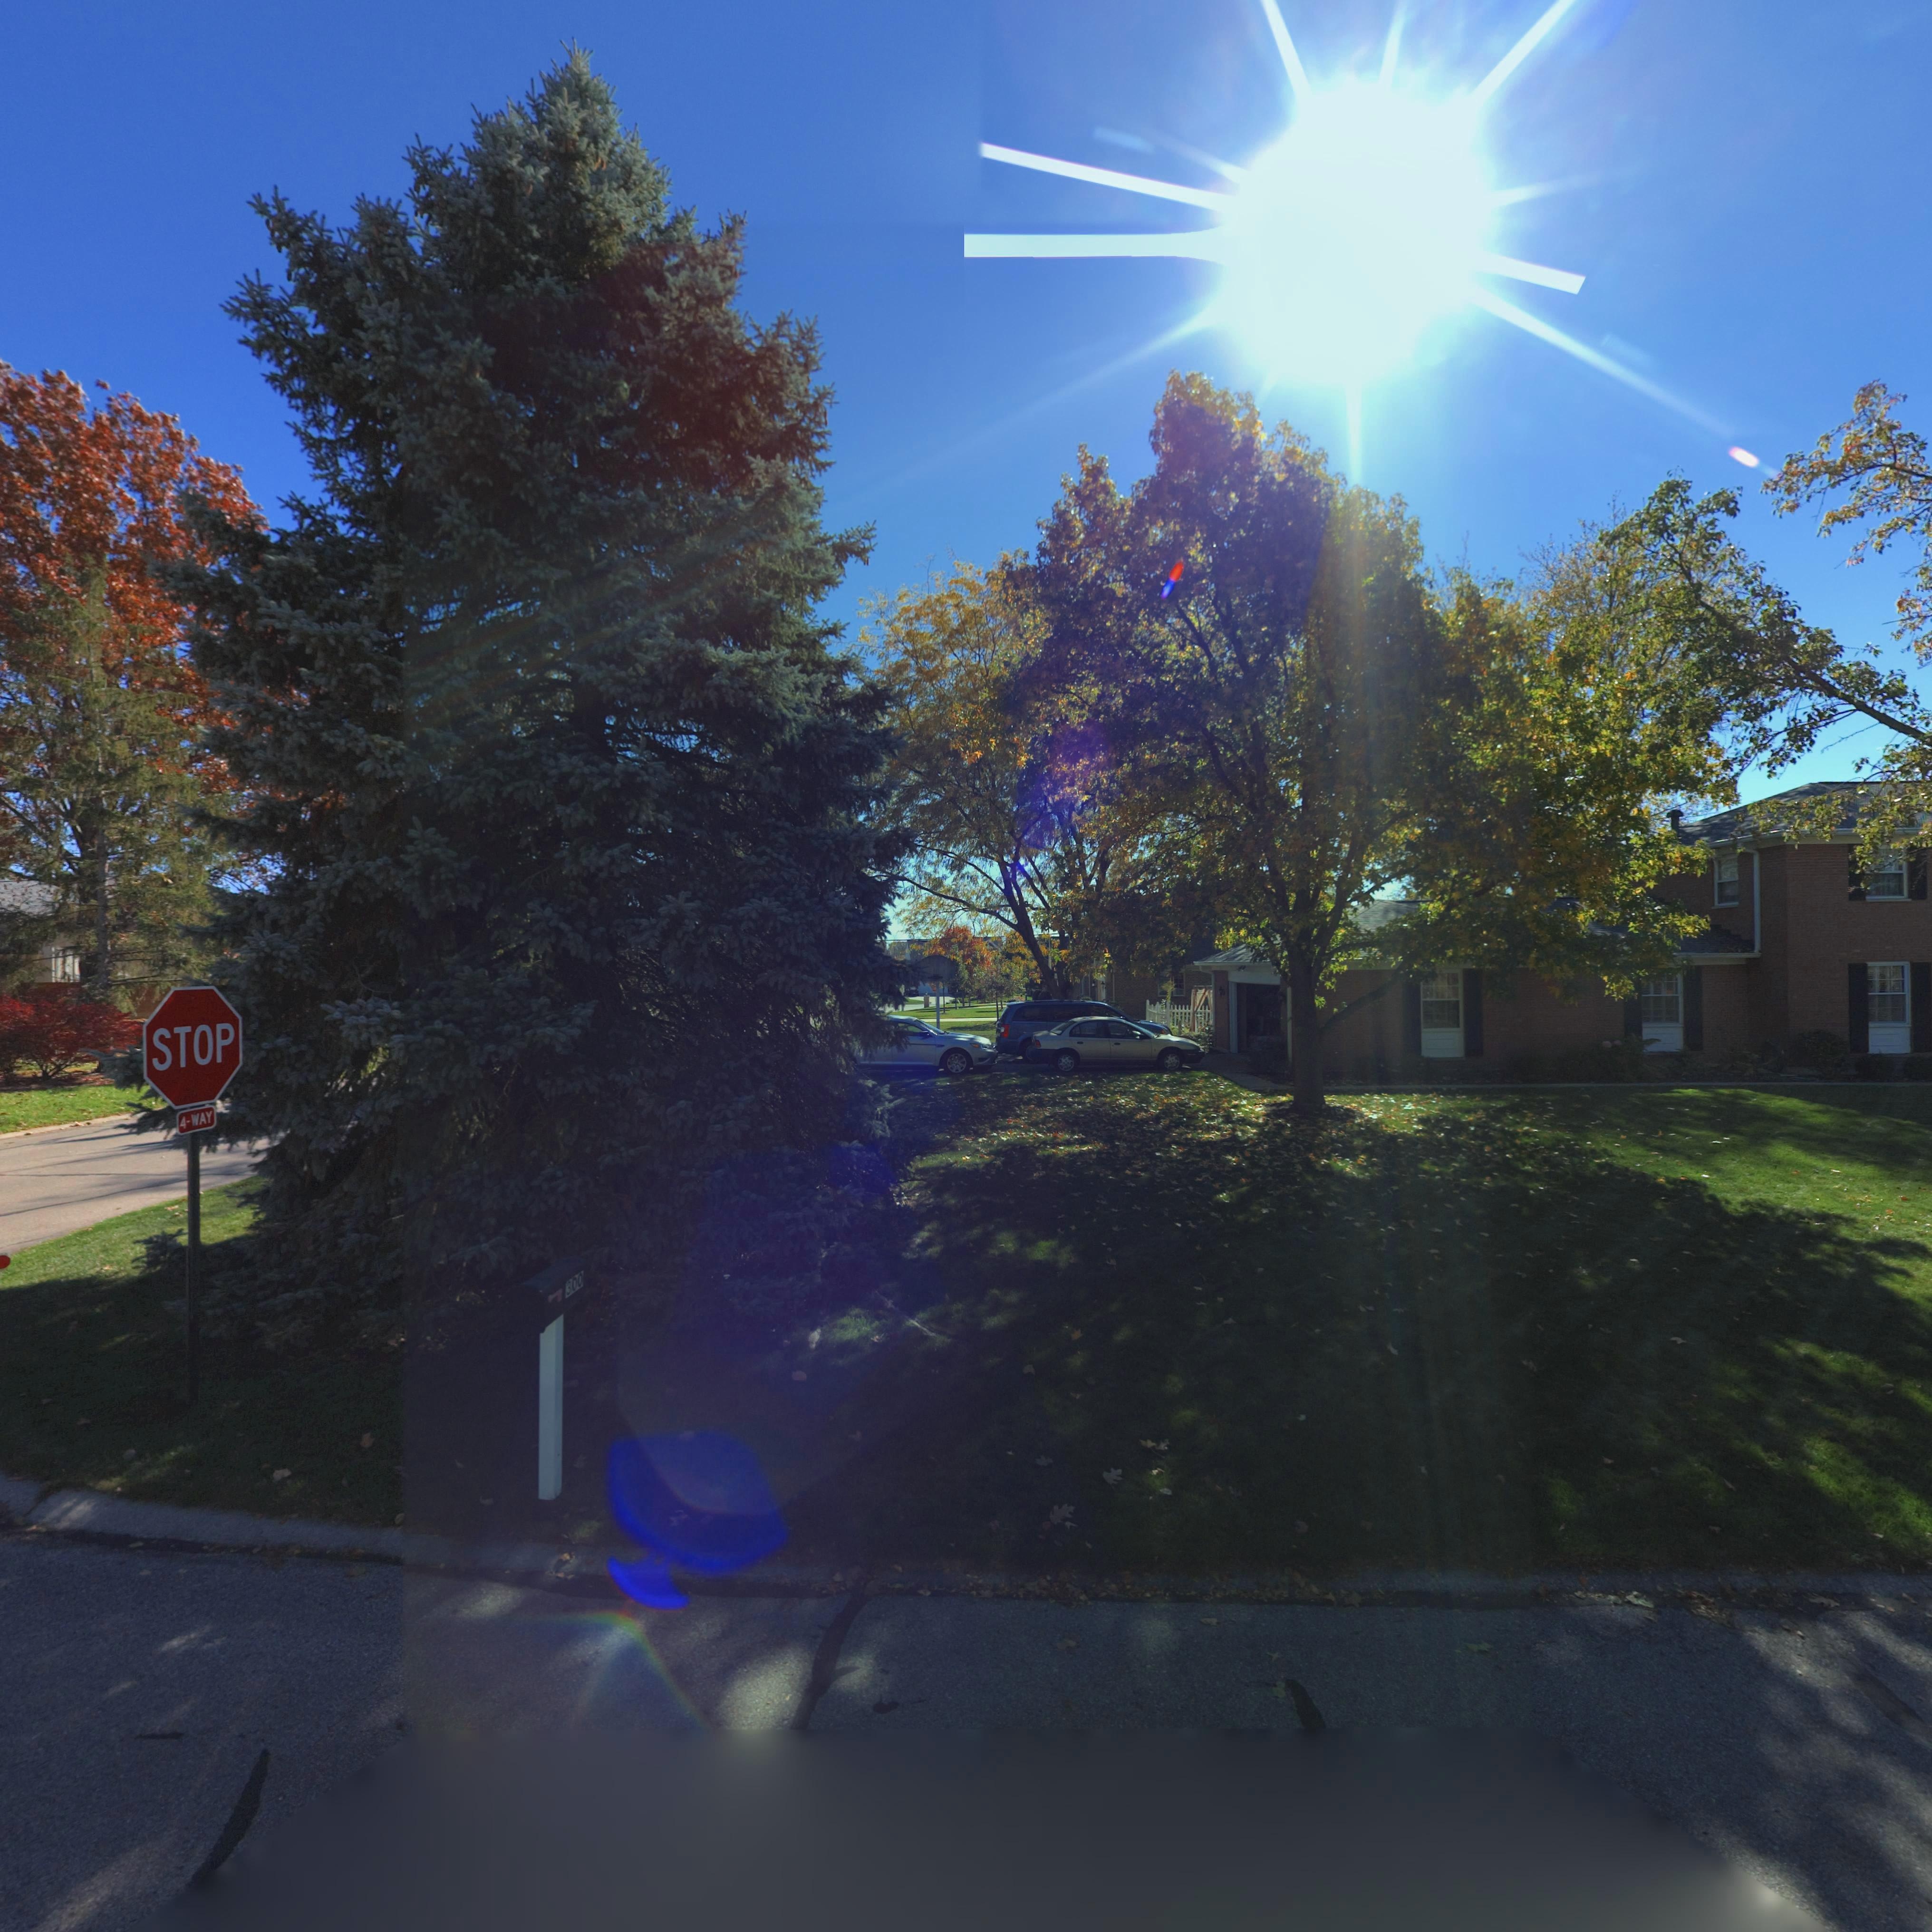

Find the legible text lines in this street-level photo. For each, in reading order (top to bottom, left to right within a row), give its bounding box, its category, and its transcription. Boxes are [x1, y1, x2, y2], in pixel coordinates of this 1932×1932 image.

[151, 1021, 235, 1072] None: STOP
[179, 1109, 213, 1130] None: 4-WAY
[565, 1270, 584, 1297] StreetNumber: 300